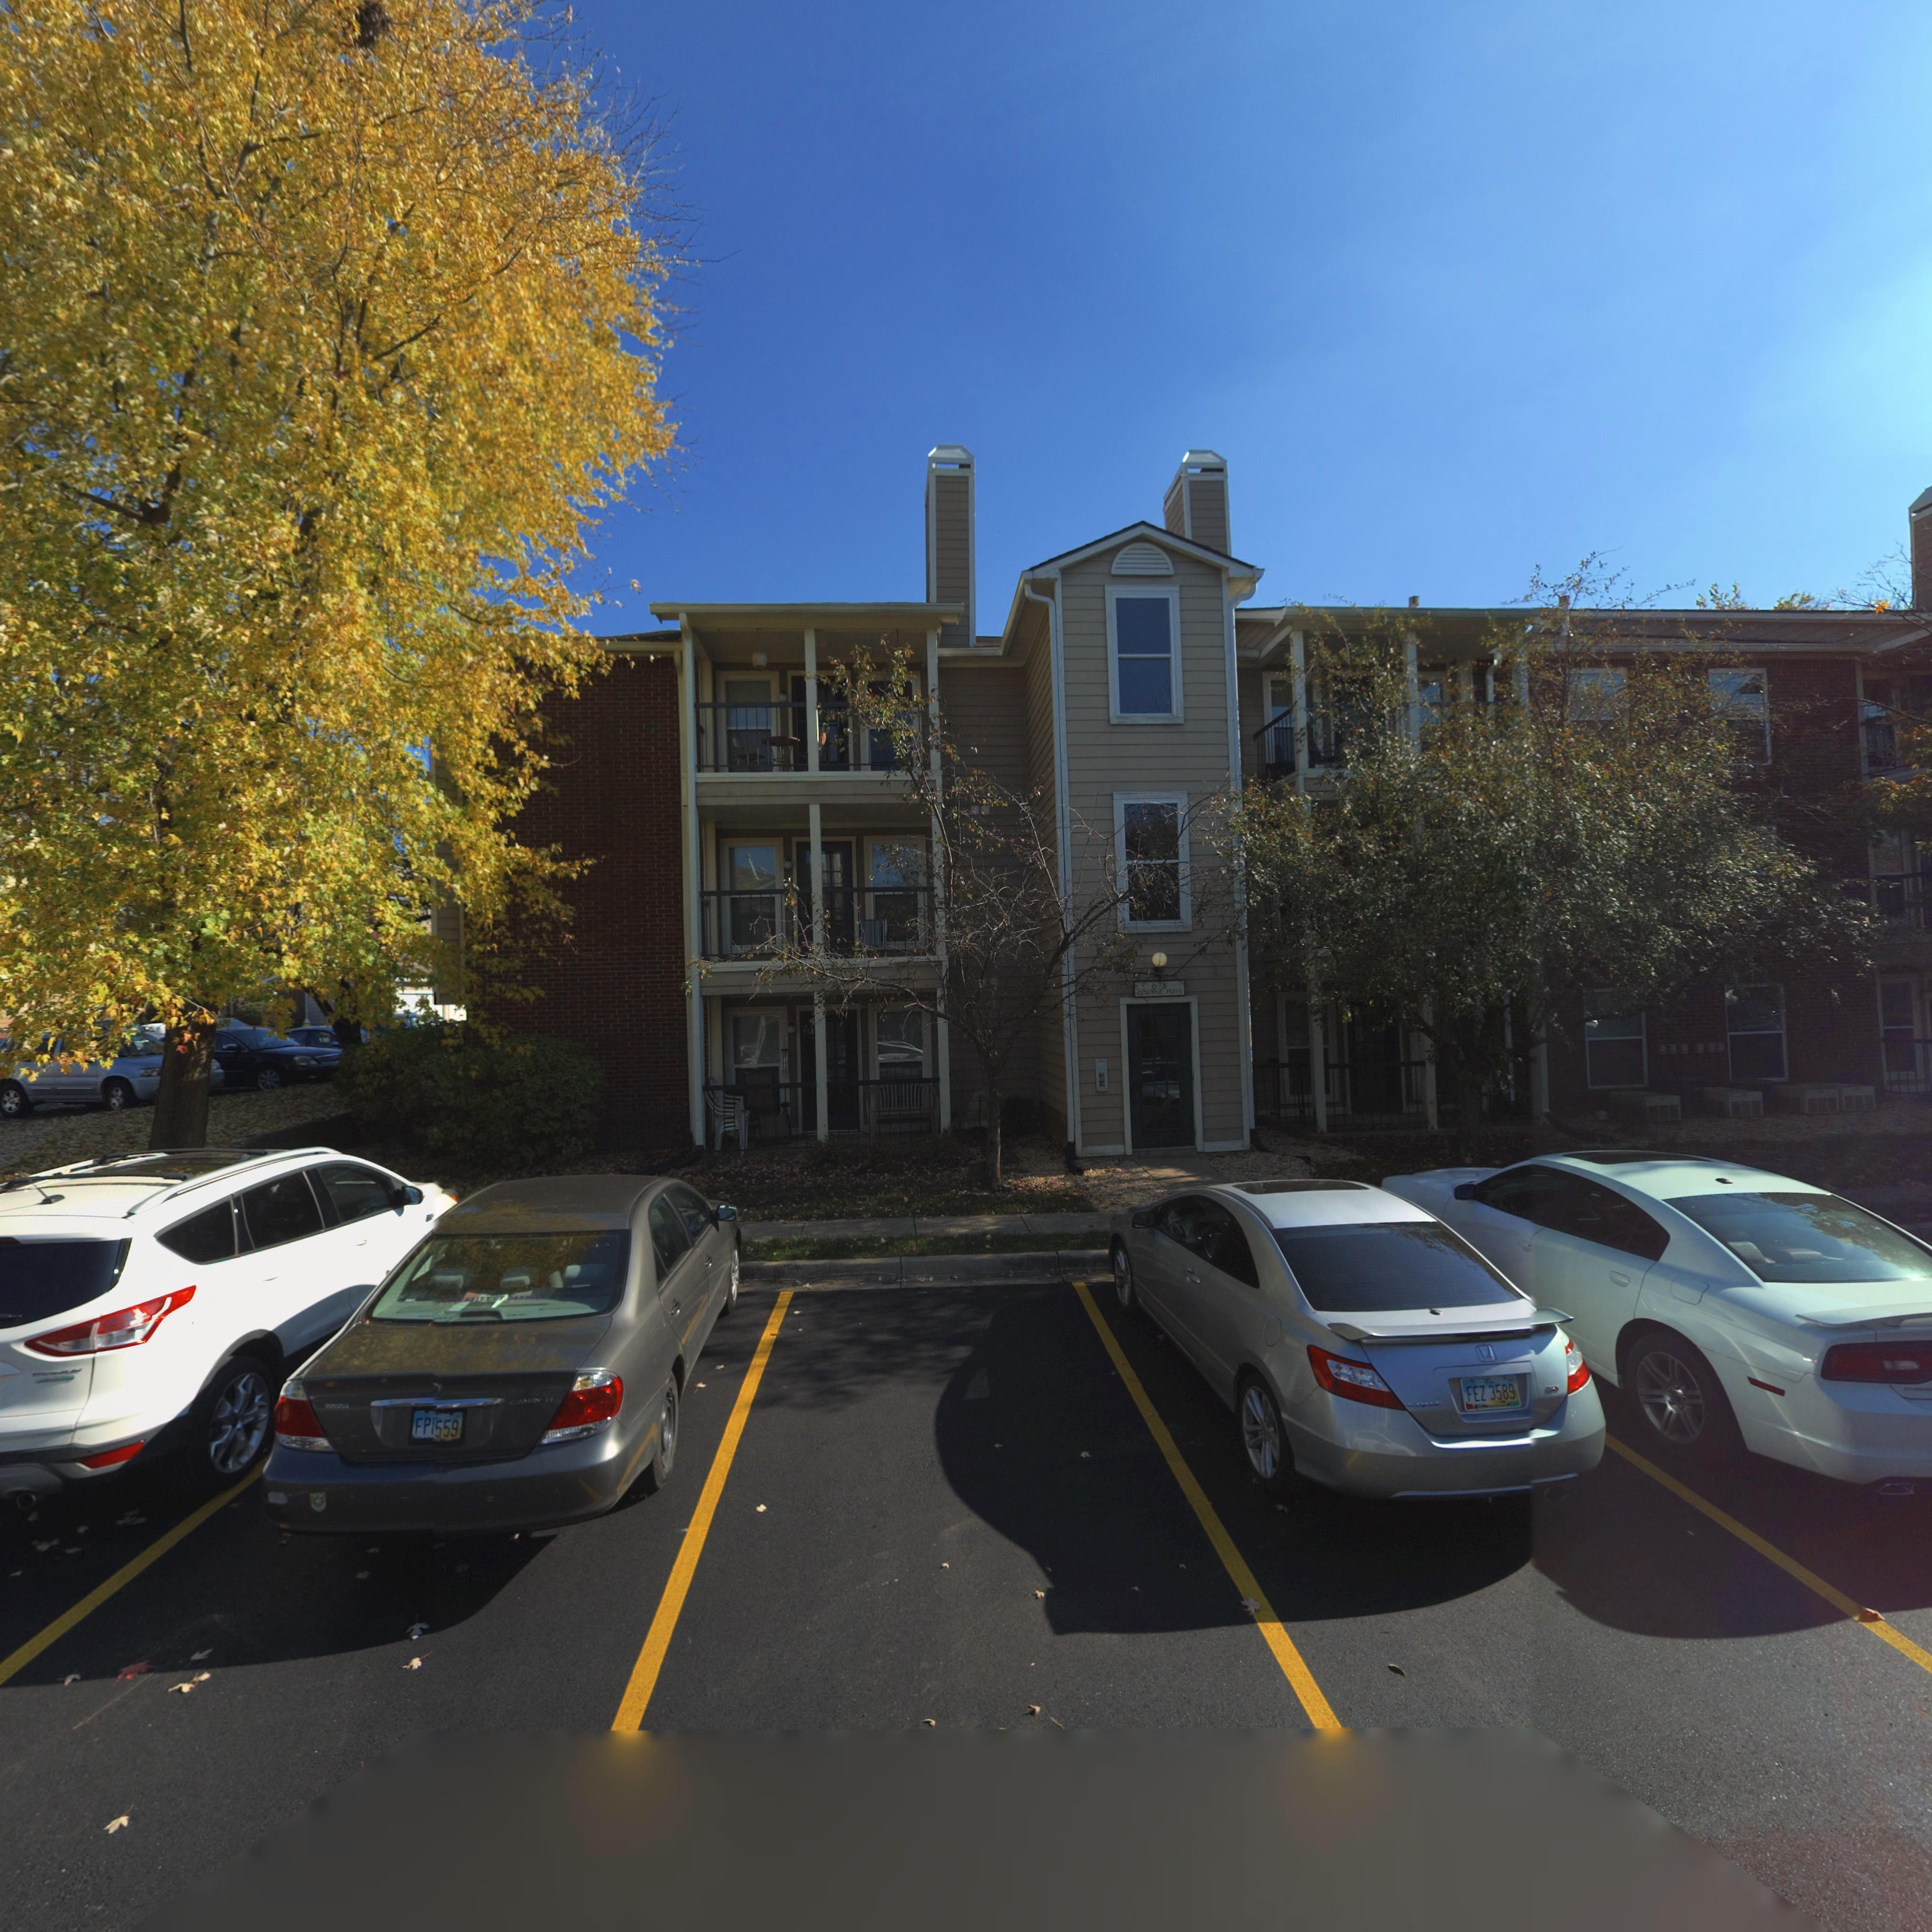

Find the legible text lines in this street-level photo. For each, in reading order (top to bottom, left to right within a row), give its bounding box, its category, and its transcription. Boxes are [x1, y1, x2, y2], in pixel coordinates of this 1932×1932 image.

[1151, 981, 1168, 990] StreetNumber: 678
[1166, 988, 1183, 995] StreetName: P*WY
[1464, 1381, 1517, 1403] None: FEZ 3589
[414, 1416, 460, 1439] None: FP*559